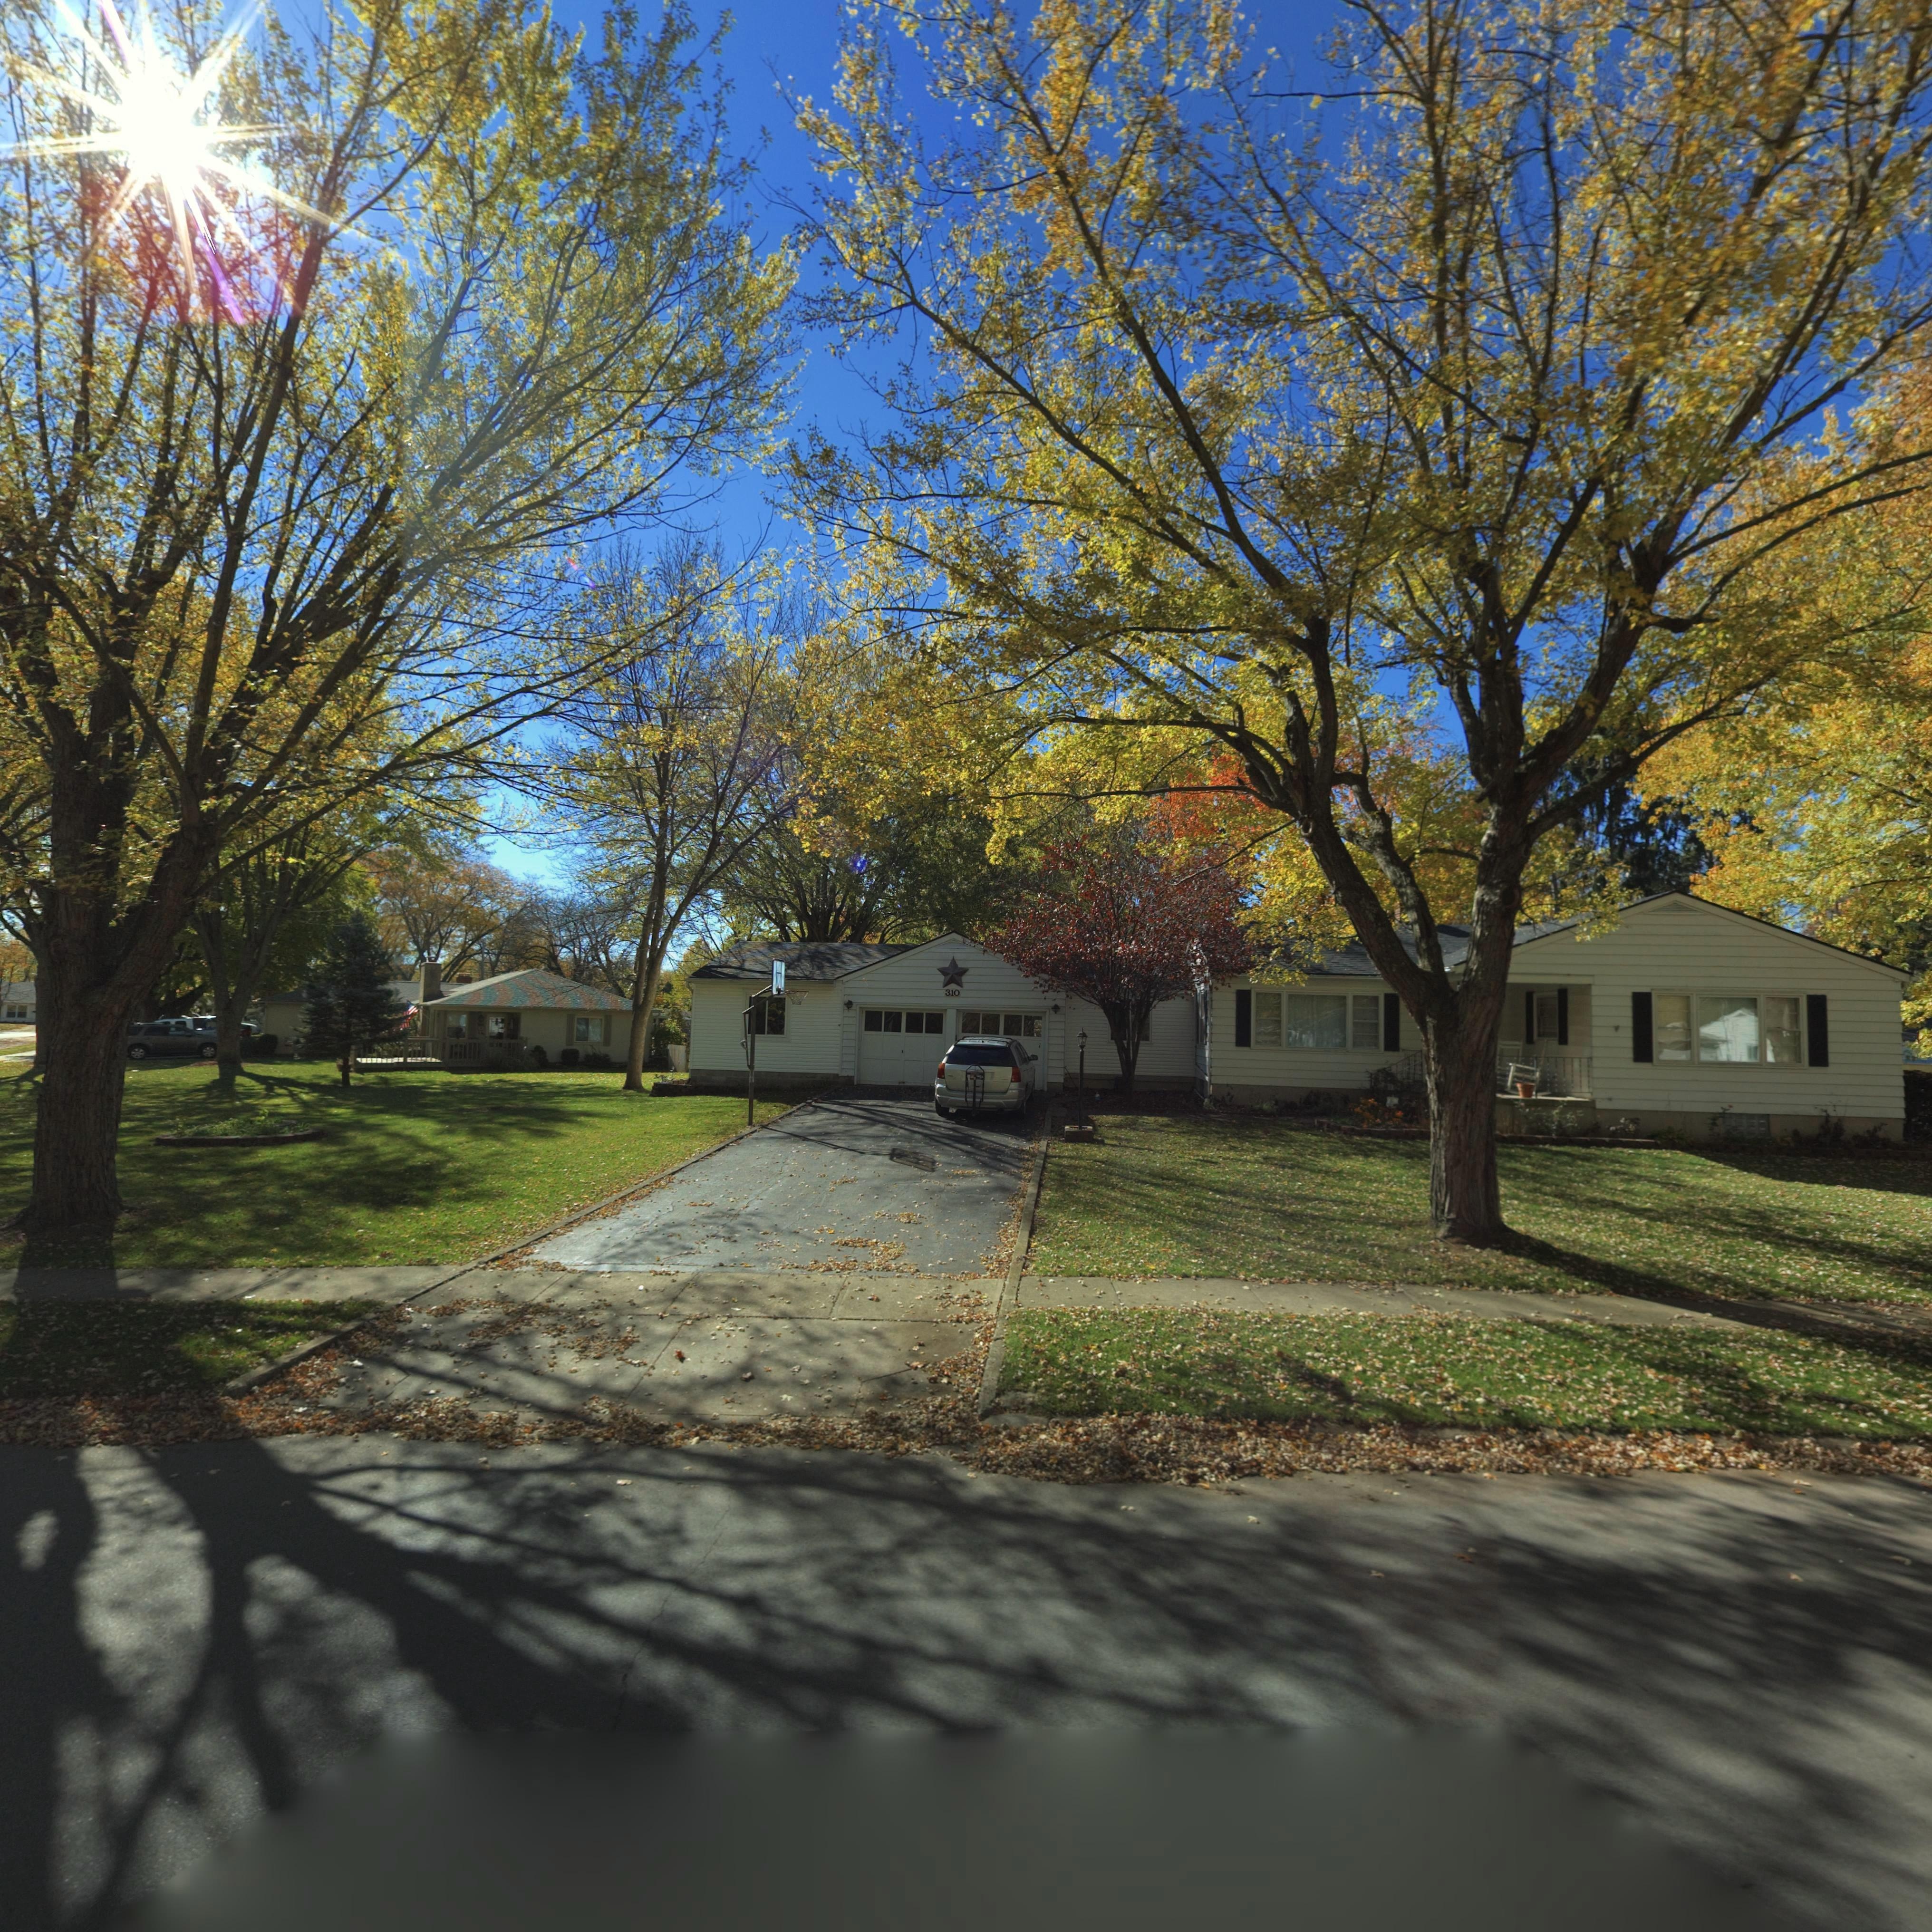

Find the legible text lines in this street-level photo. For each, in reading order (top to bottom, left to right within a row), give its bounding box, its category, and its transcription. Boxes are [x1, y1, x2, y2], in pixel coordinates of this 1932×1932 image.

[945, 988, 960, 997] StreetNumber: 310